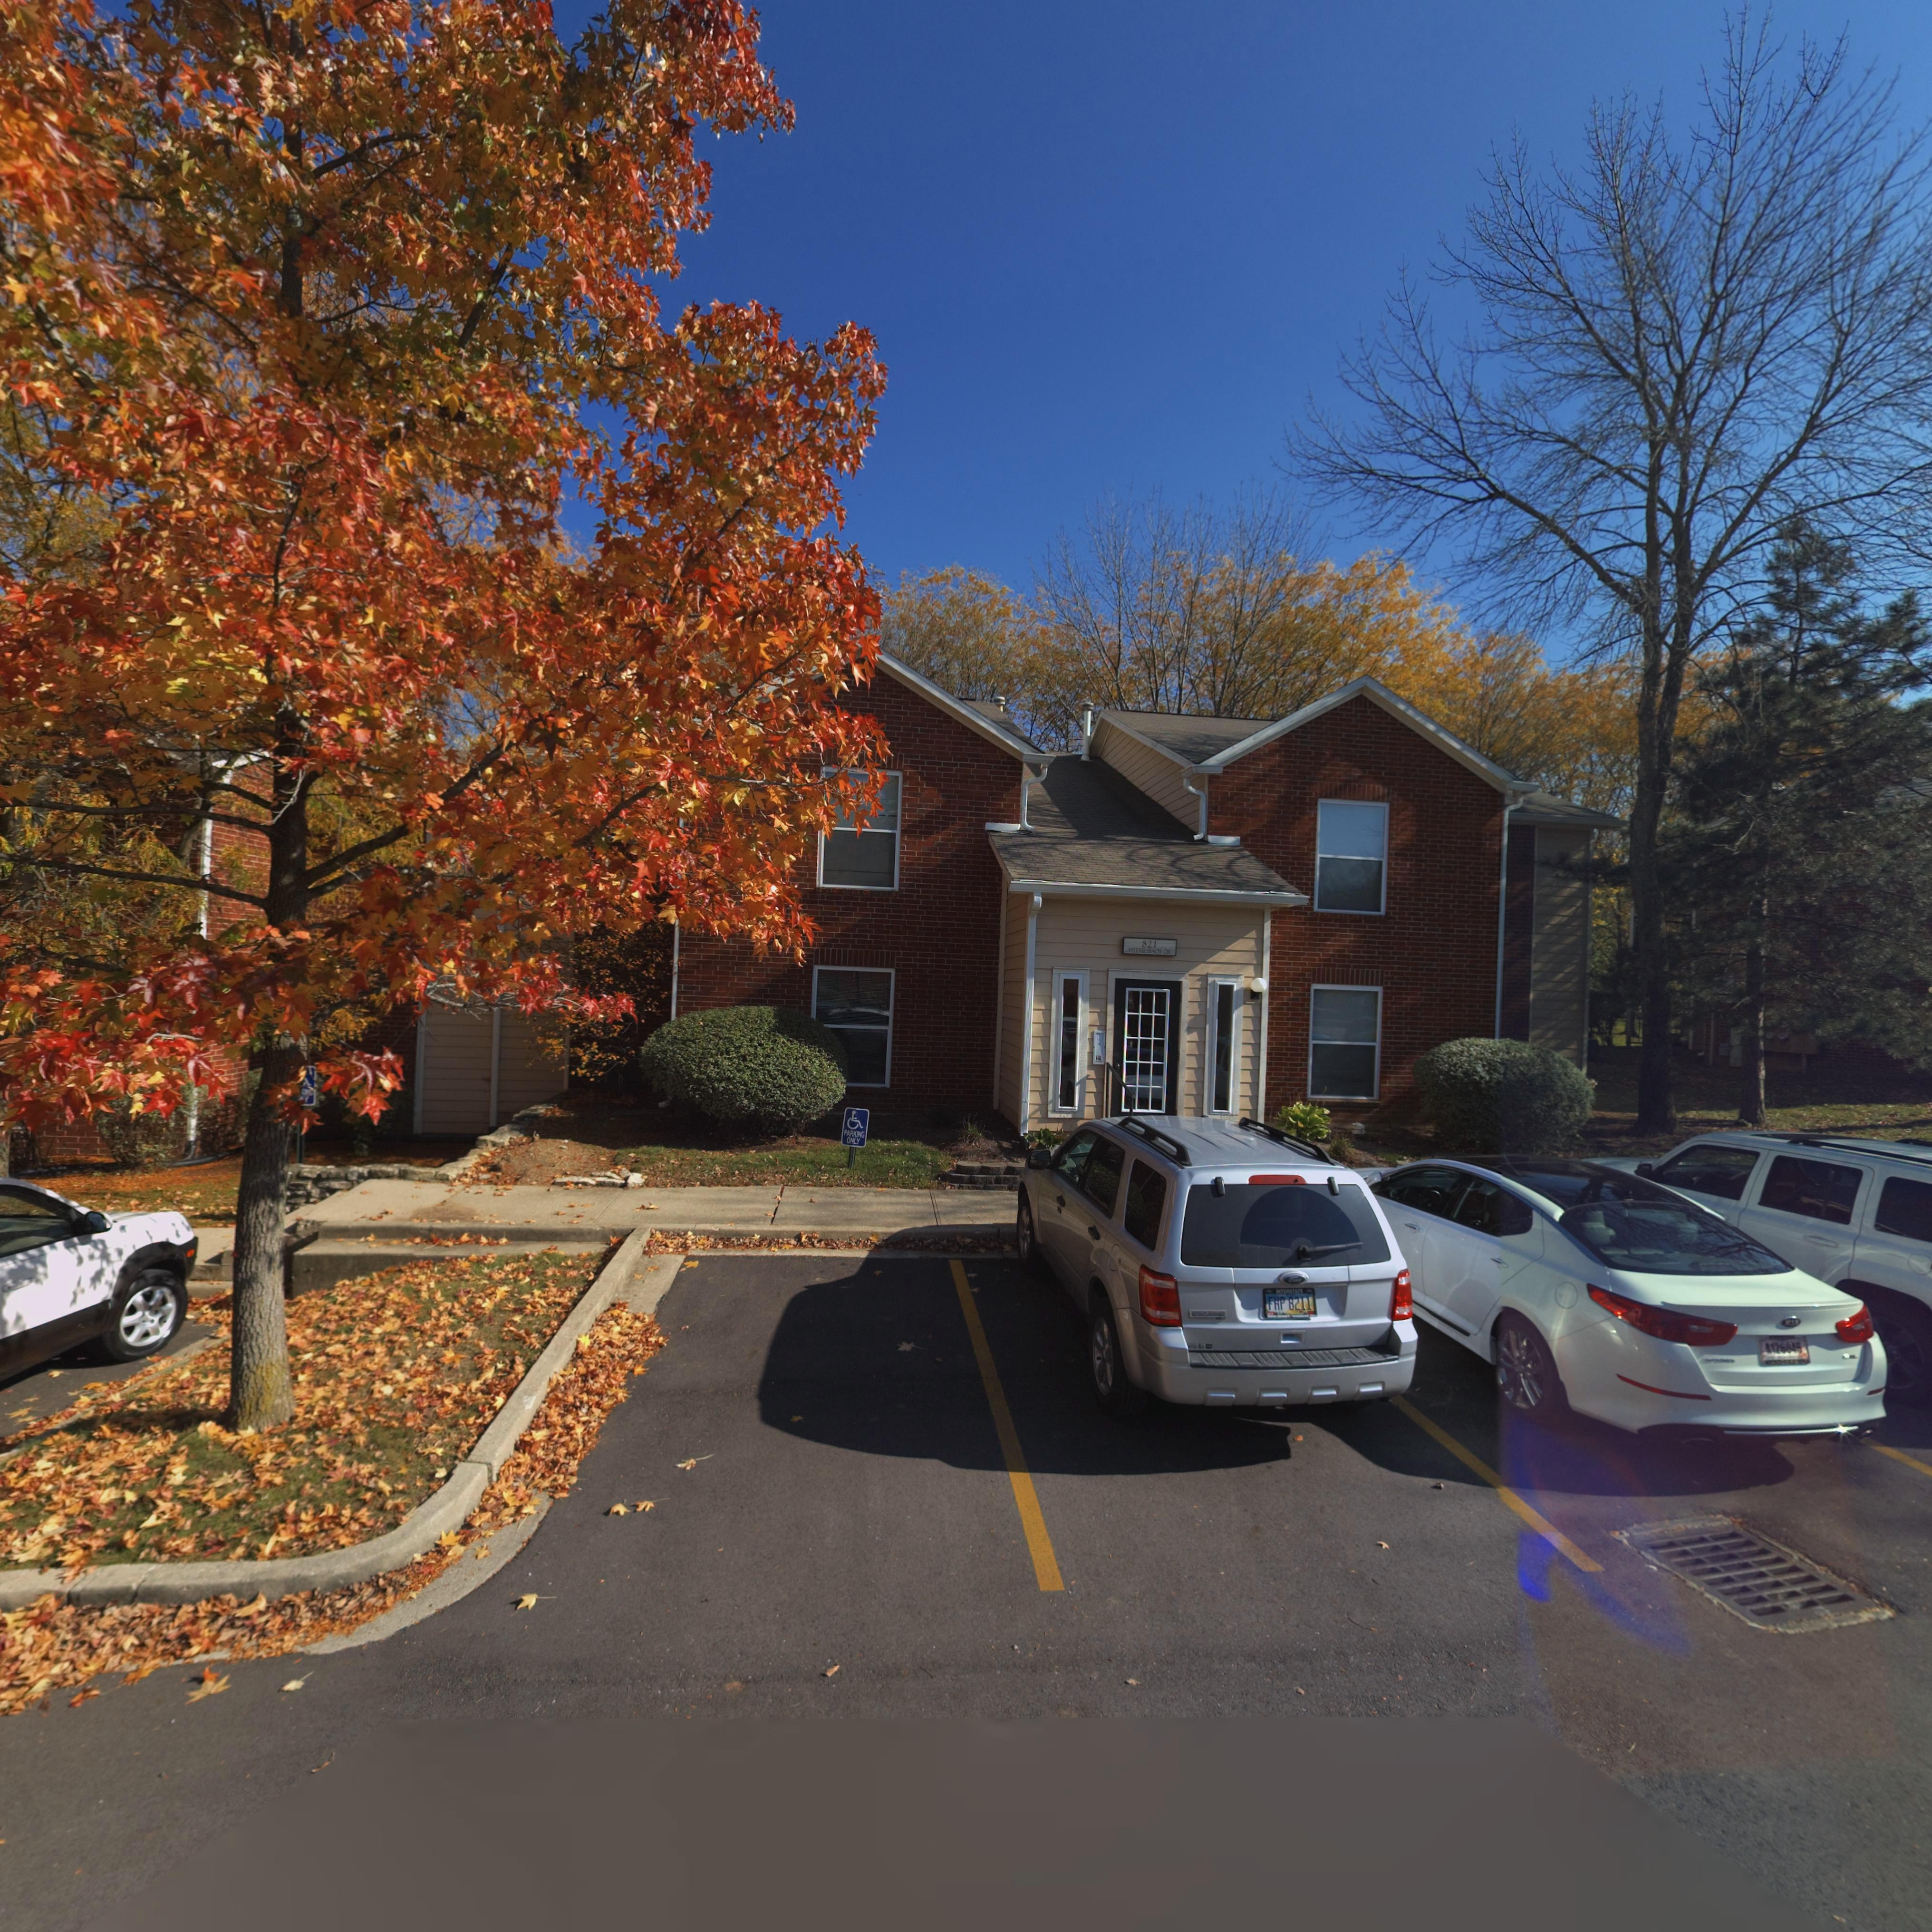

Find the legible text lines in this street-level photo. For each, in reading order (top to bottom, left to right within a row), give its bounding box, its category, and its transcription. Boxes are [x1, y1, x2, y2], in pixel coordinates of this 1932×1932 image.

[1140, 938, 1158, 949] StreetNumber: 821
[842, 1127, 867, 1140] None: PARKING
[845, 1135, 862, 1146] None: ONLY
[1266, 1294, 1314, 1312] None: FHP 8211